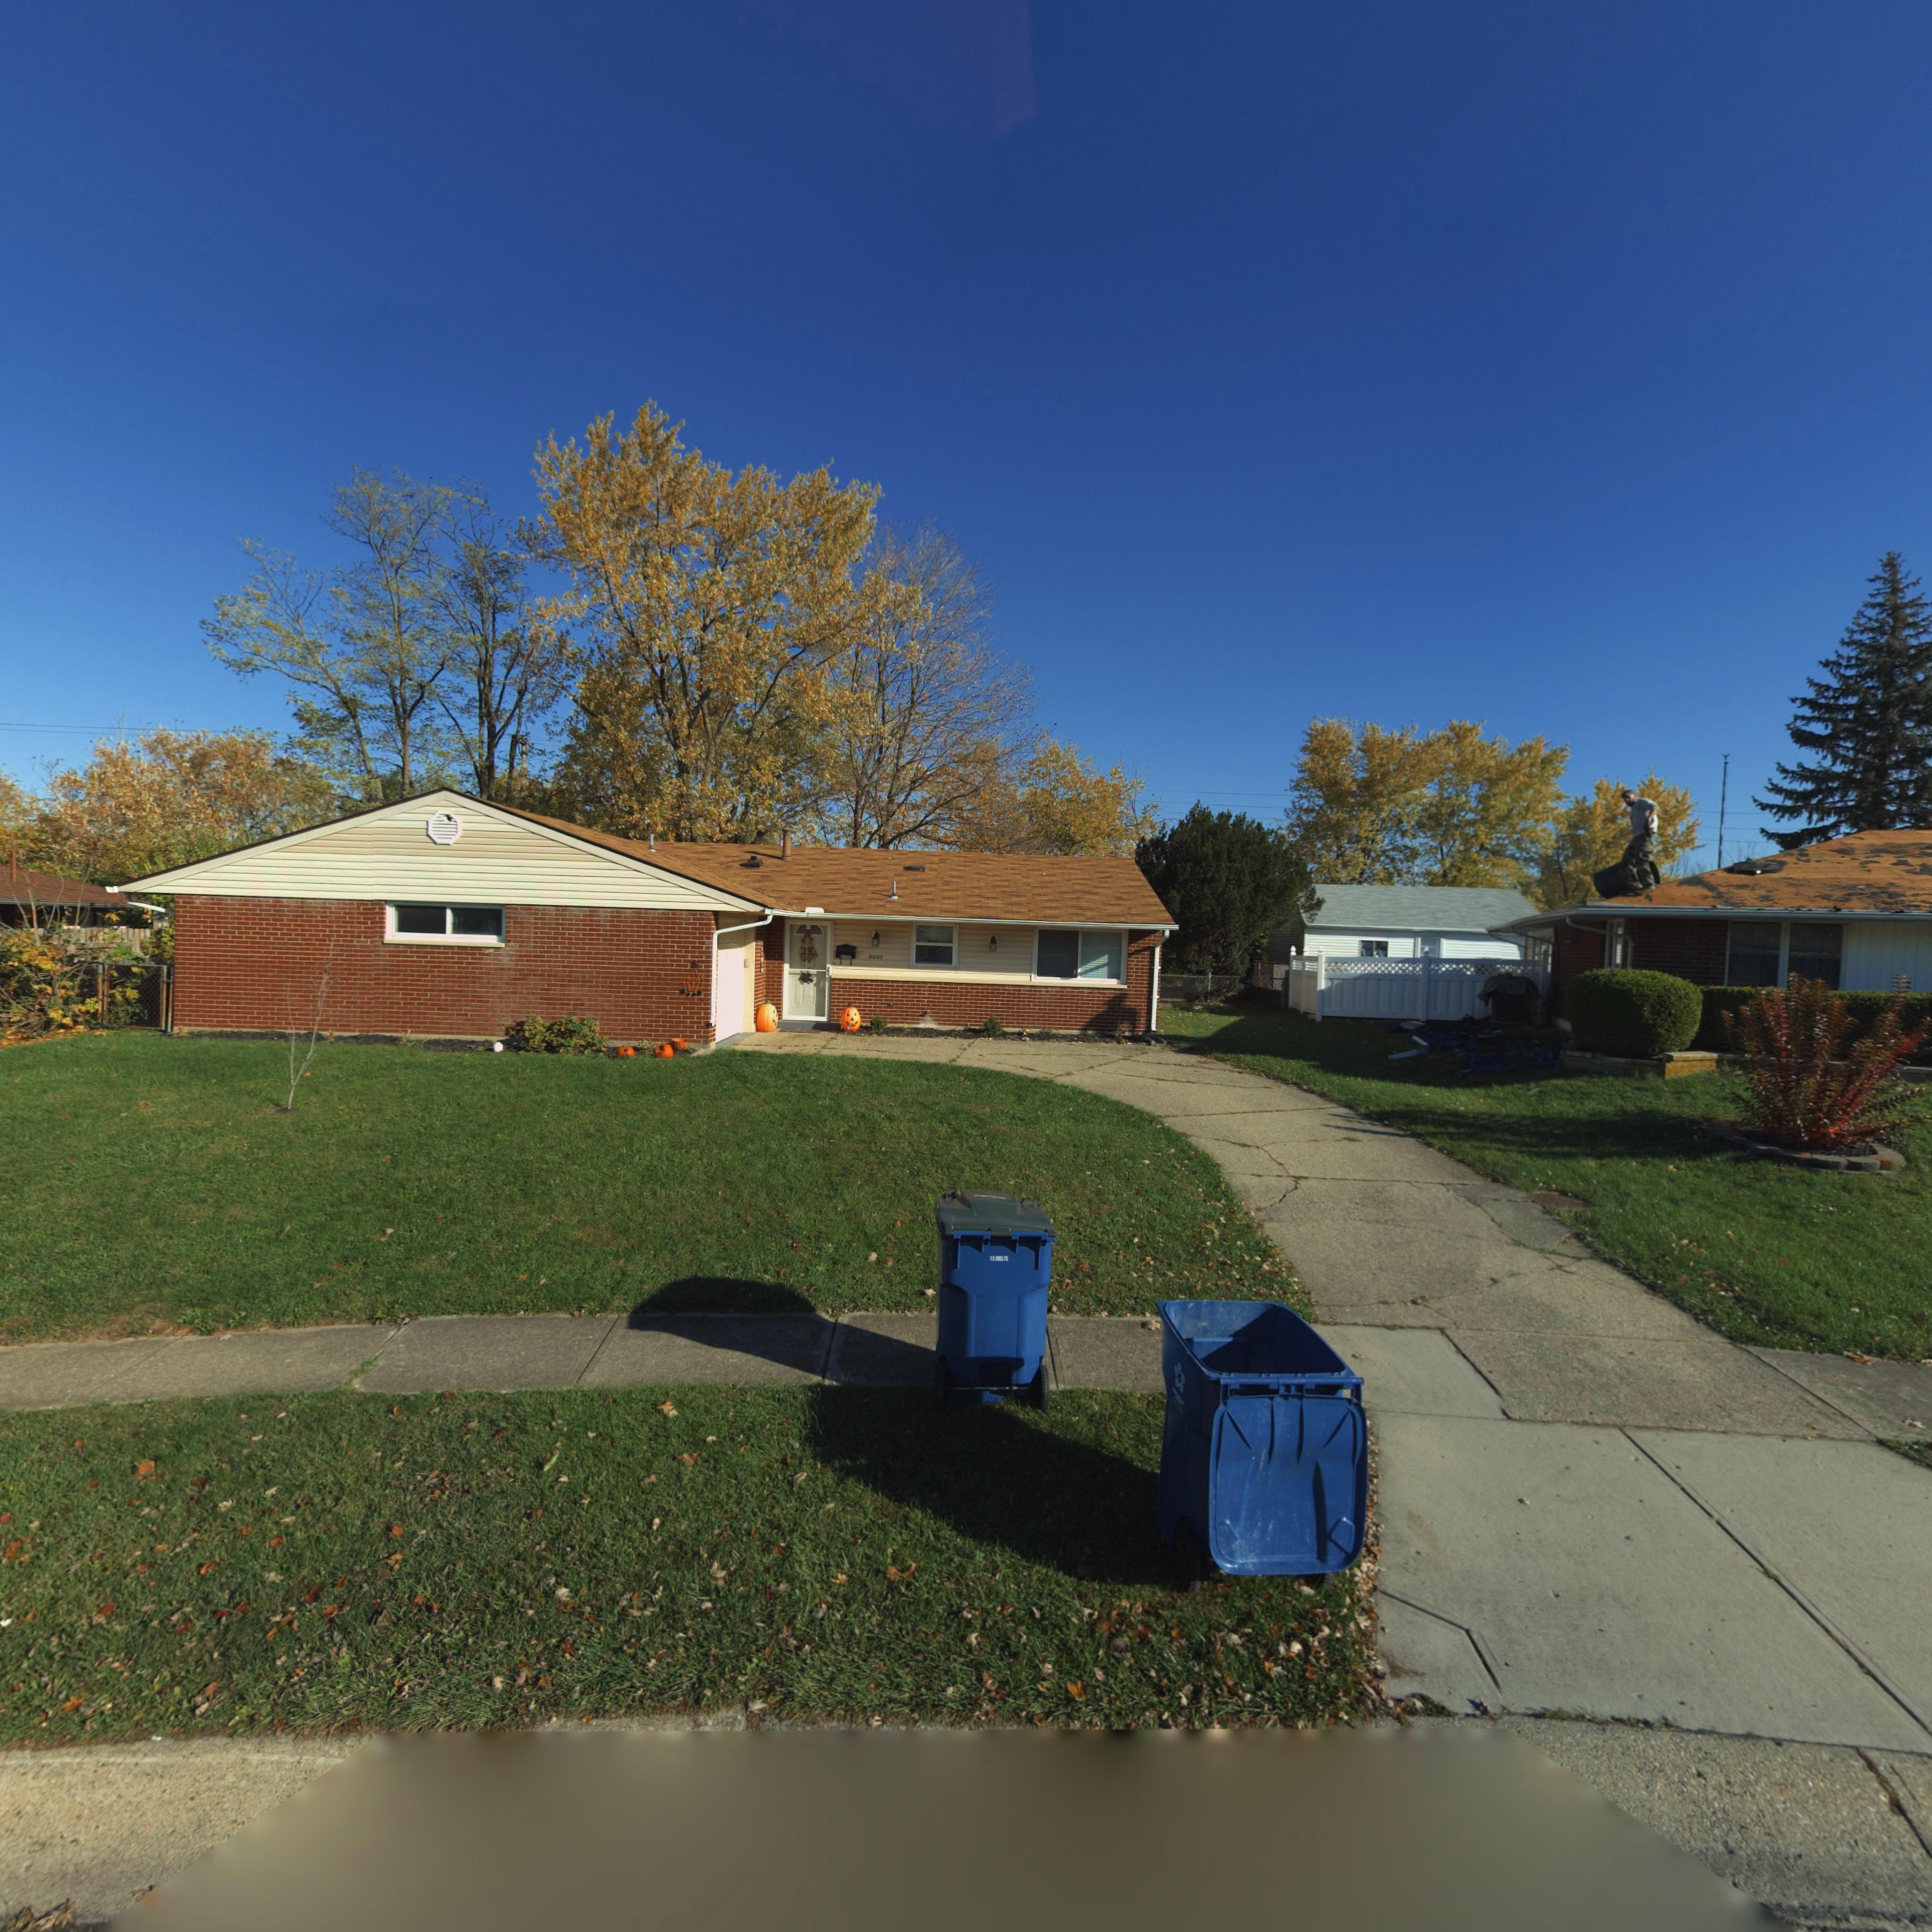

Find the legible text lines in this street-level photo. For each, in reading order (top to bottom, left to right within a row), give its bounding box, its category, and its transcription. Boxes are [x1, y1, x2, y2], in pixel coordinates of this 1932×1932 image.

[868, 954, 884, 961] StreetNumber: 8007